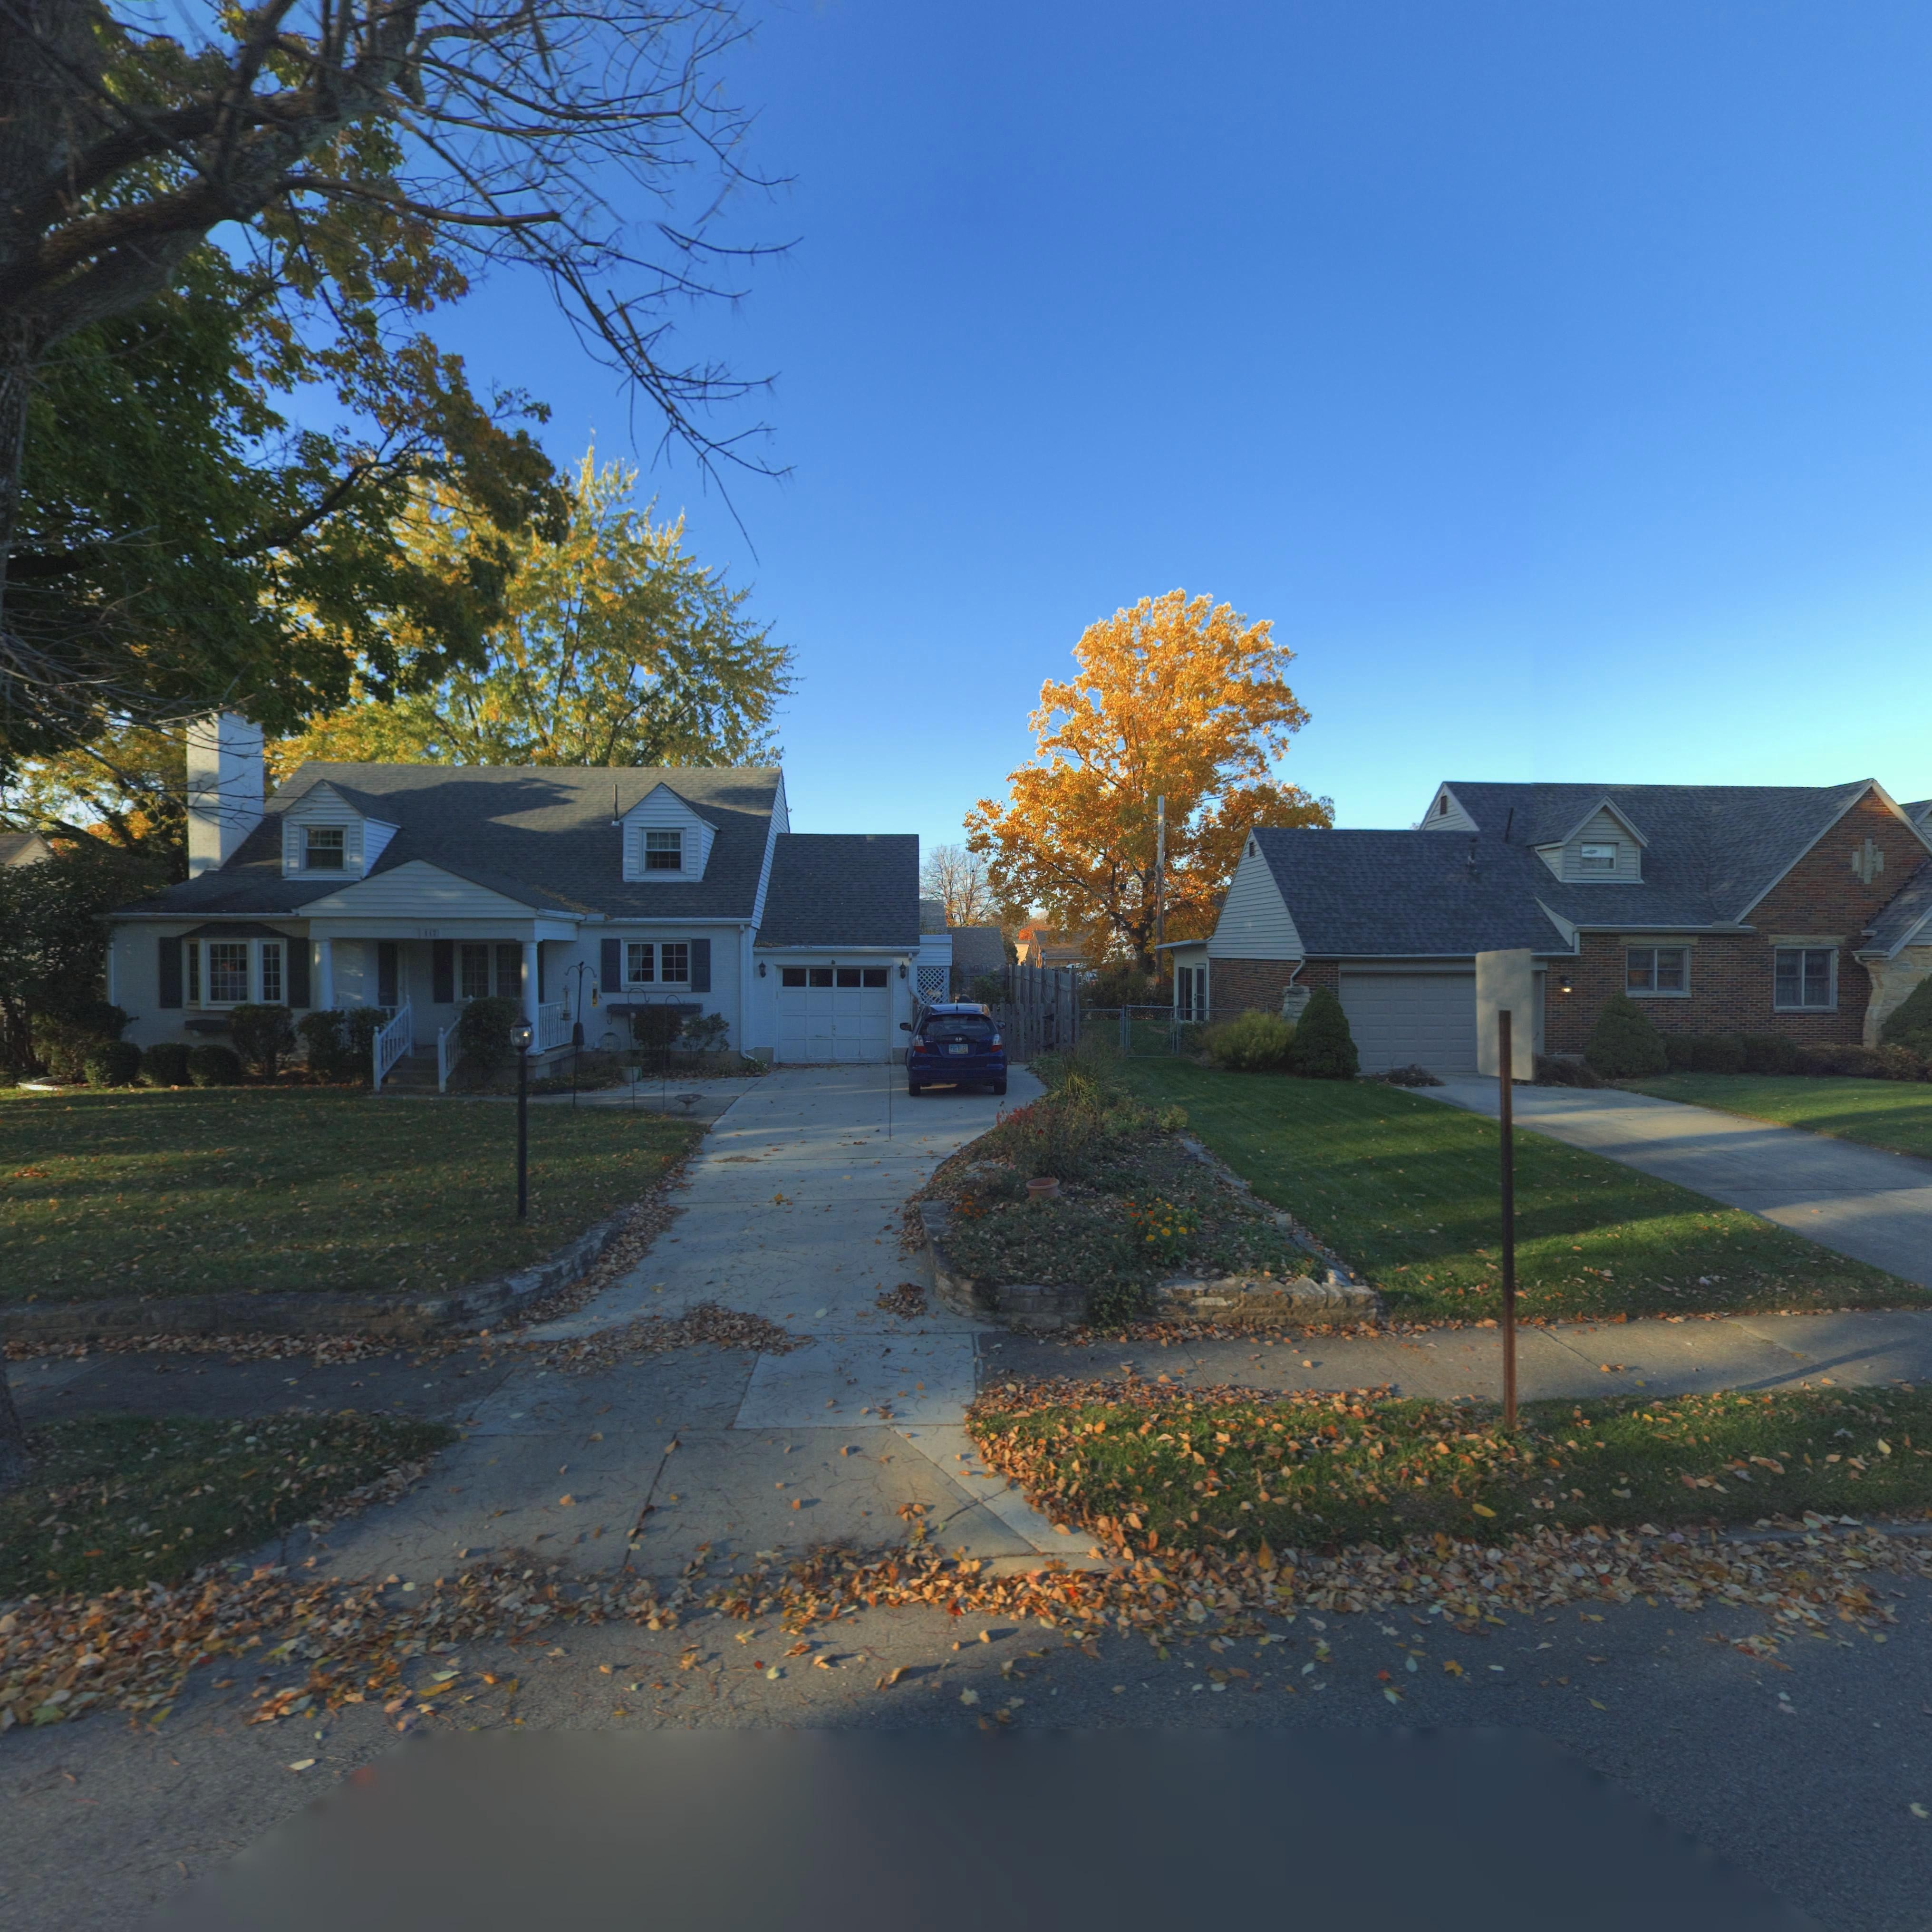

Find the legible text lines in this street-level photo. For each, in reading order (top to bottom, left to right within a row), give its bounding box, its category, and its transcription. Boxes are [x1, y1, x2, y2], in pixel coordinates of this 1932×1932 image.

[425, 929, 438, 937] StreetNumber: 117